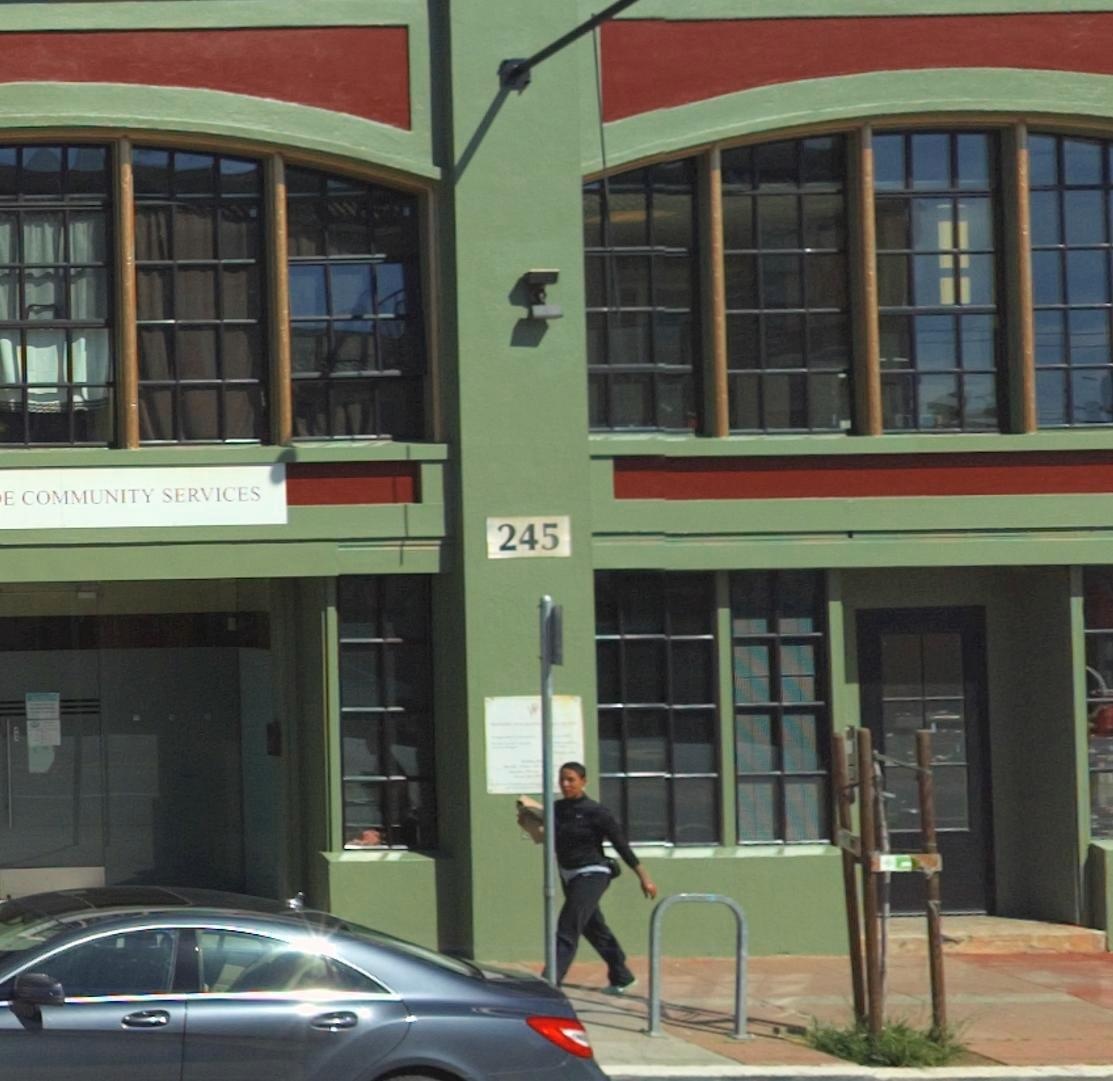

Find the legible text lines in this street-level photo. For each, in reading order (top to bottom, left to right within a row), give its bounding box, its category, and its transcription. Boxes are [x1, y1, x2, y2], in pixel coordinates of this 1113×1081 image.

[0, 483, 264, 509] BusinessName: E COMMUNITY SERVICES
[495, 519, 562, 555] StreetNumber: 245